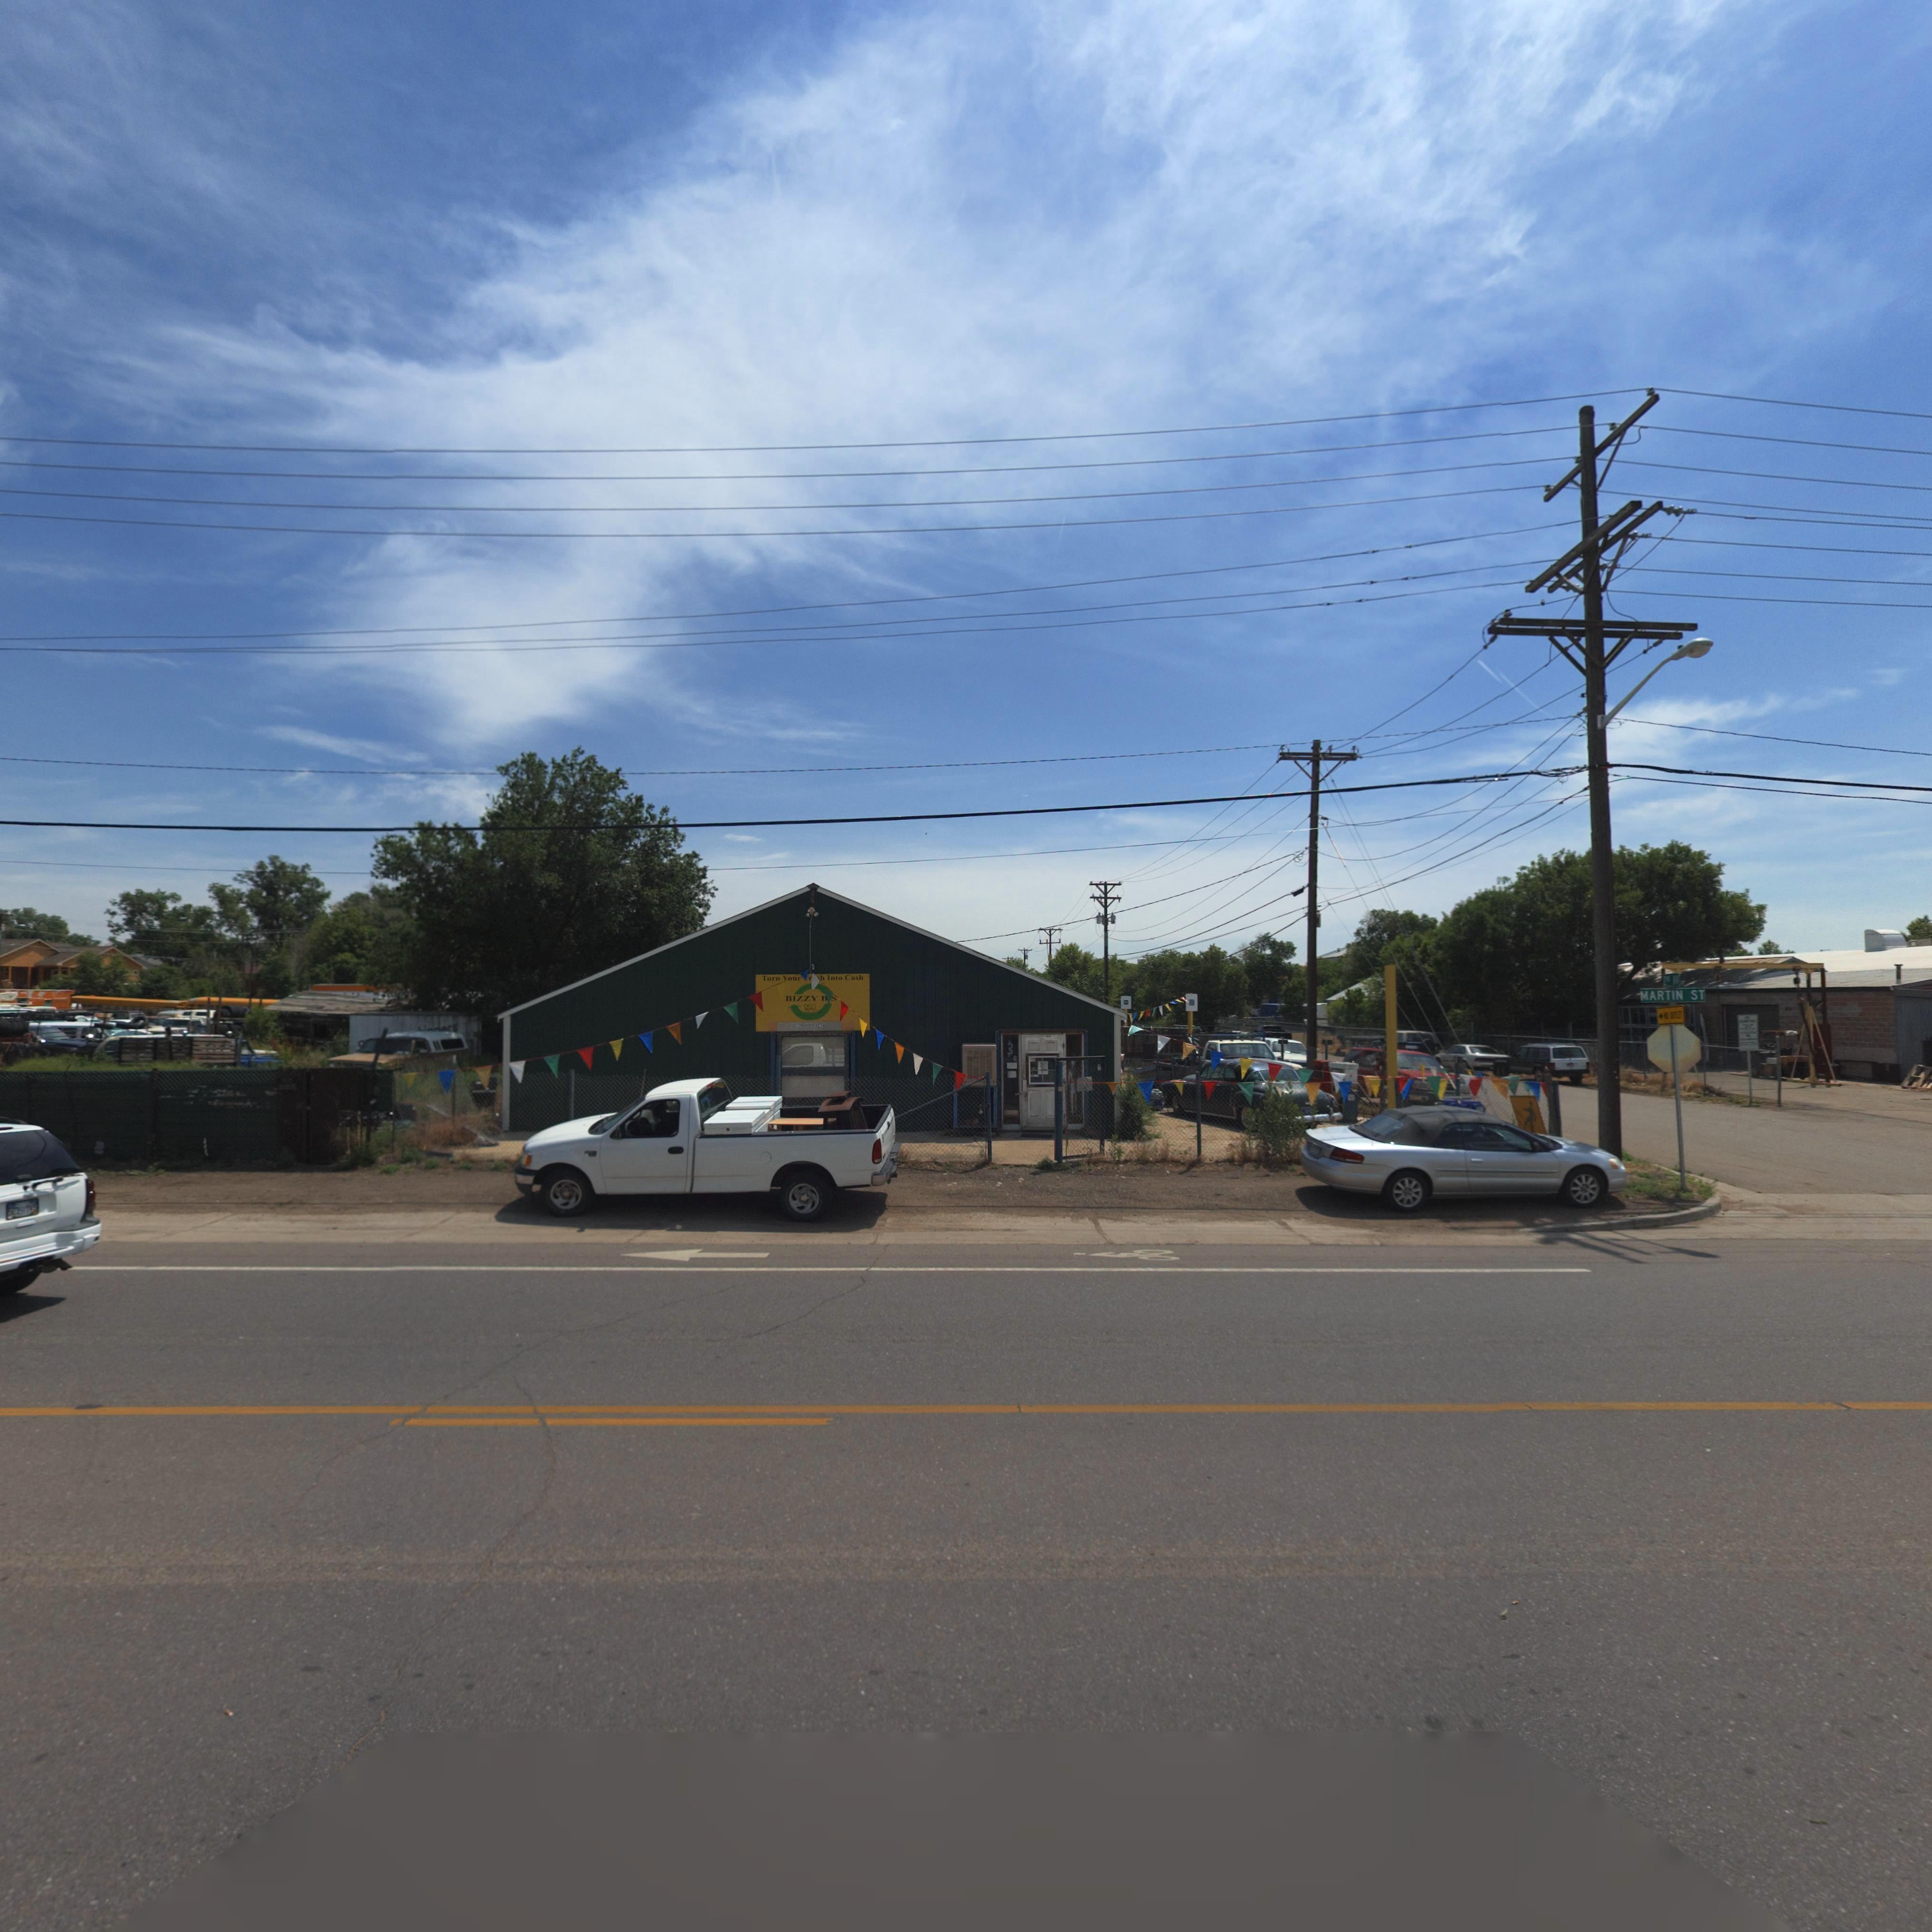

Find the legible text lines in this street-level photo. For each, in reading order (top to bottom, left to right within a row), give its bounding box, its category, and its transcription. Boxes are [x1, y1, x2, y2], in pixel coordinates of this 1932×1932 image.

[1662, 975, 1679, 985] StreetName: 2ND AV
[785, 995, 837, 1002] BusinessName: BIZZY B*S
[1640, 989, 1705, 1001] StreetName: MARTIN ST